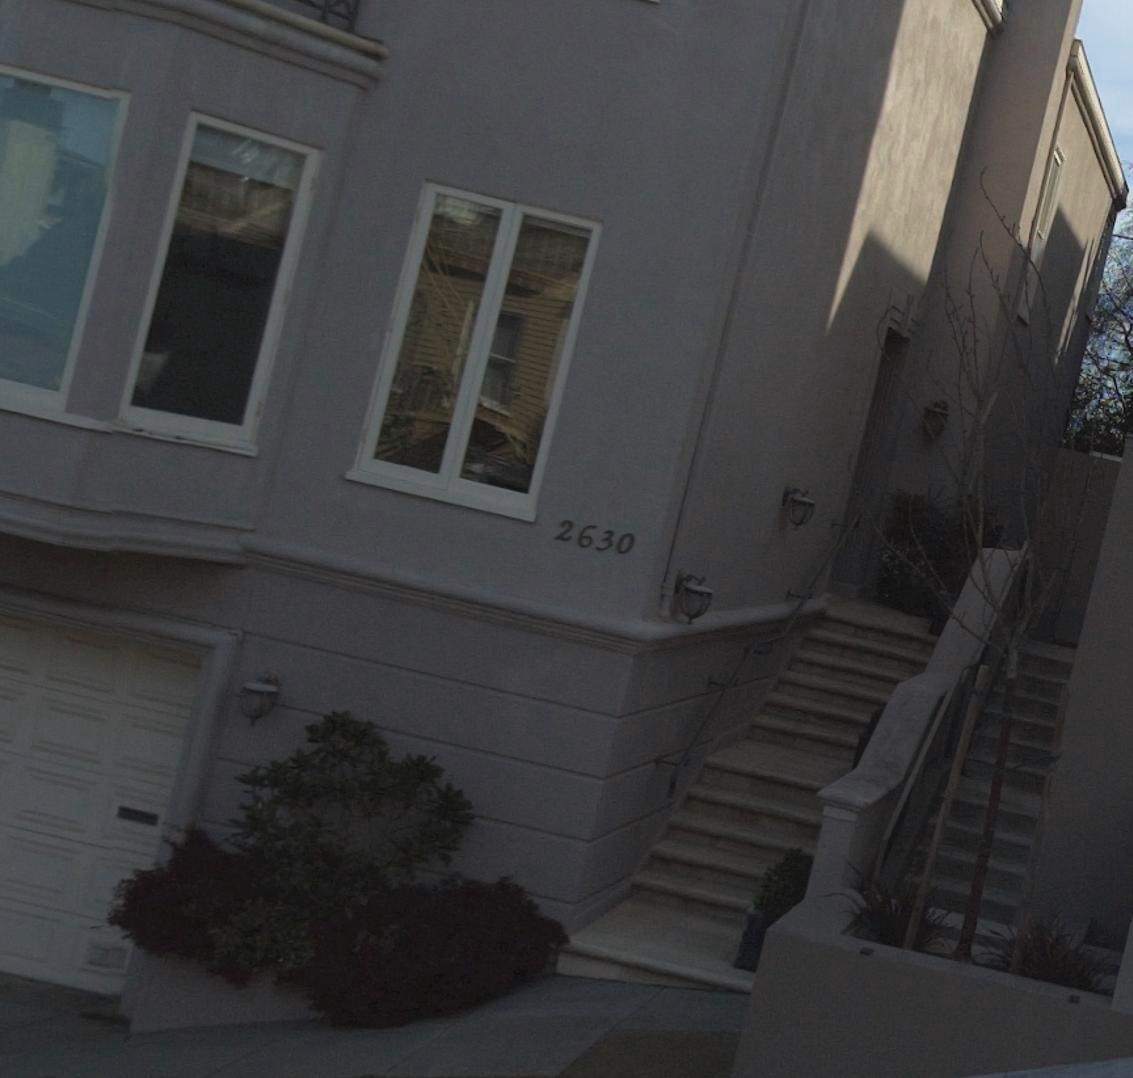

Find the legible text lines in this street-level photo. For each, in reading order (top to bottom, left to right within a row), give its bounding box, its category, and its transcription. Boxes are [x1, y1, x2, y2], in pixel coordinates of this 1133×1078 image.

[549, 516, 639, 557] StreetNumber: 2630